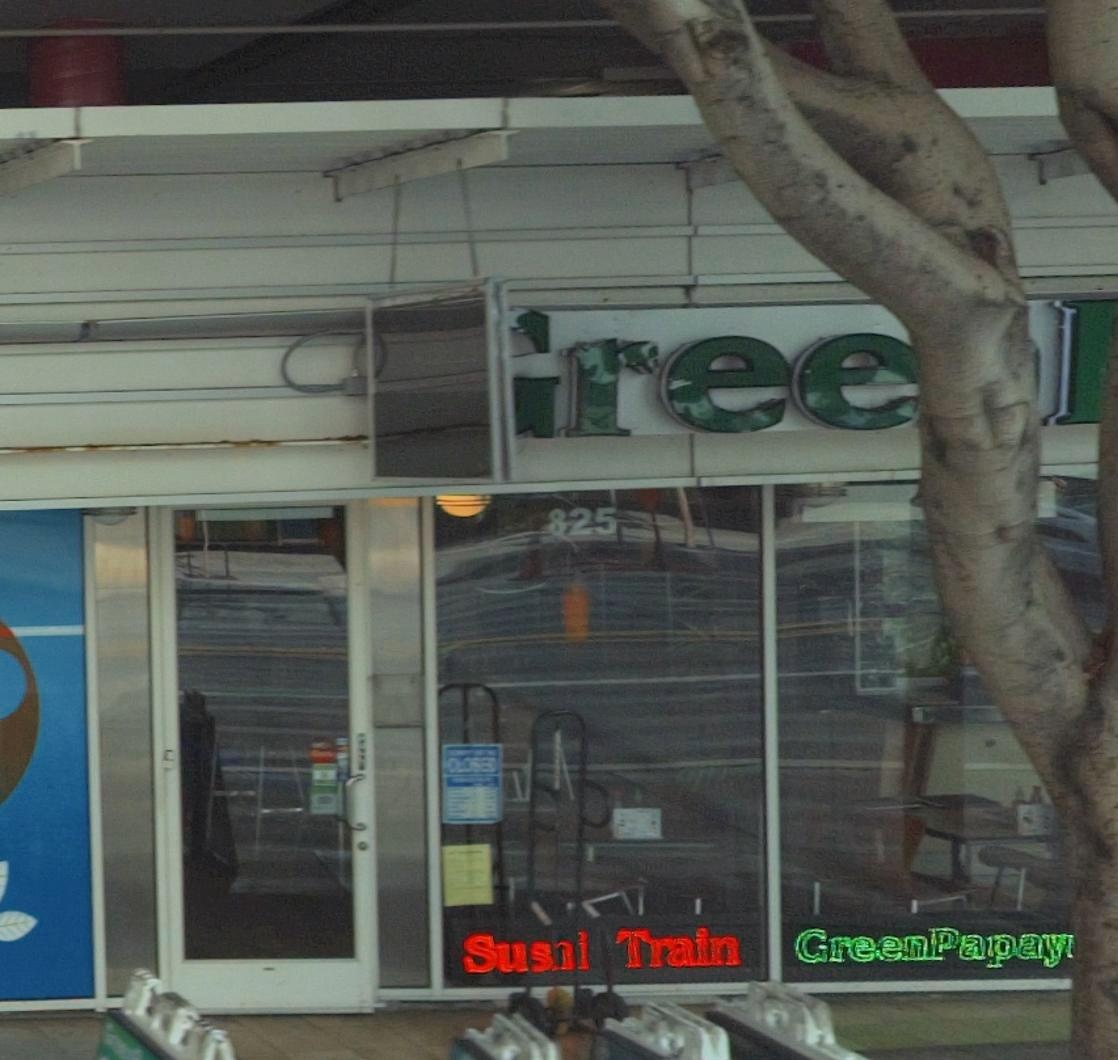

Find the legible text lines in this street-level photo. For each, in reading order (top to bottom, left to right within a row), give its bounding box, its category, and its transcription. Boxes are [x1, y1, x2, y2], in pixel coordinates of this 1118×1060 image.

[558, 328, 926, 444] BusinessName: ree
[546, 504, 621, 539] StreetNumber: 825
[444, 753, 500, 777] None: CLOSED
[458, 920, 746, 979] None: Suchi Train
[790, 923, 1074, 974] None: GreenPapay